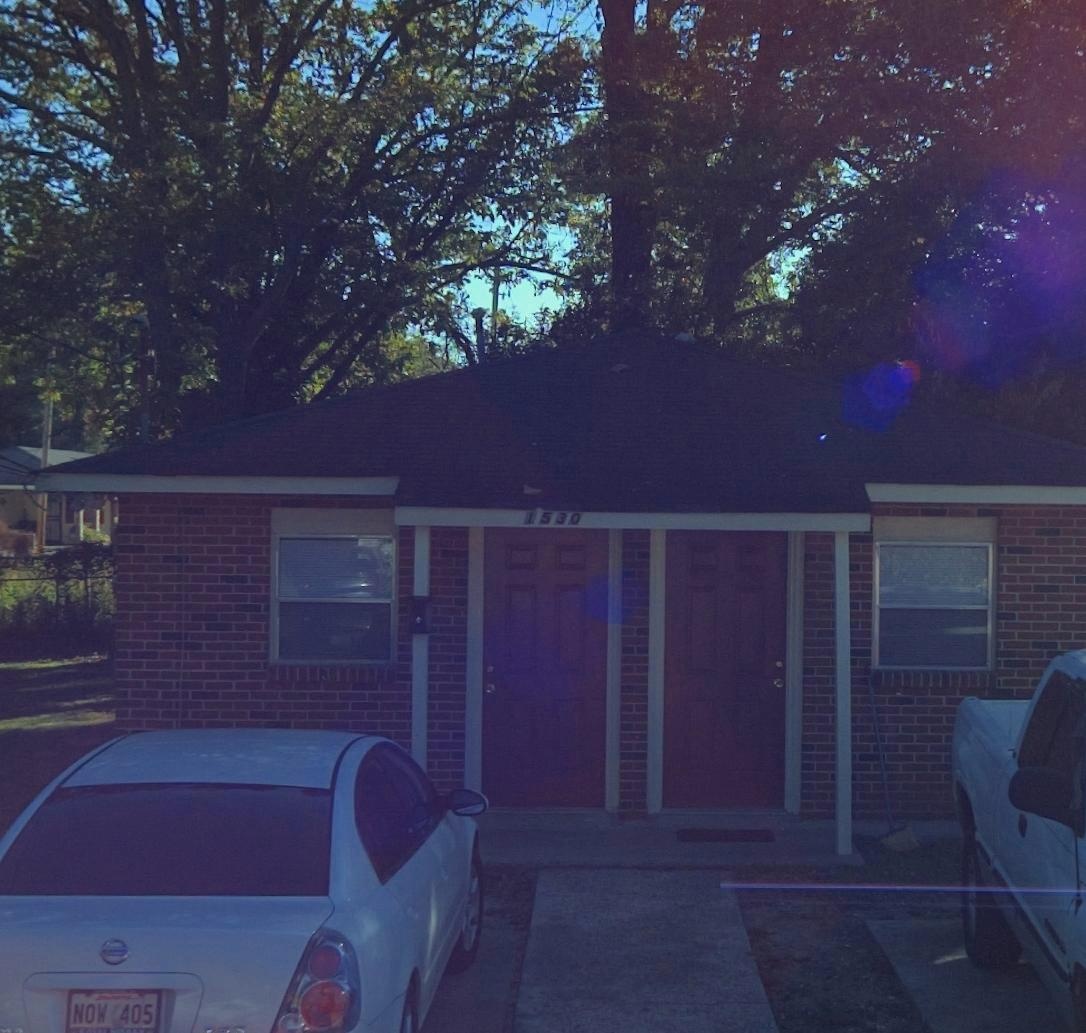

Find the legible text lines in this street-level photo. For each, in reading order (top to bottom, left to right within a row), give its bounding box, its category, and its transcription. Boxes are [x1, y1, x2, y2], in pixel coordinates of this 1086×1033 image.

[526, 511, 583, 526] StreetNumber: 1530
[71, 1002, 155, 1026] None: NOW 405